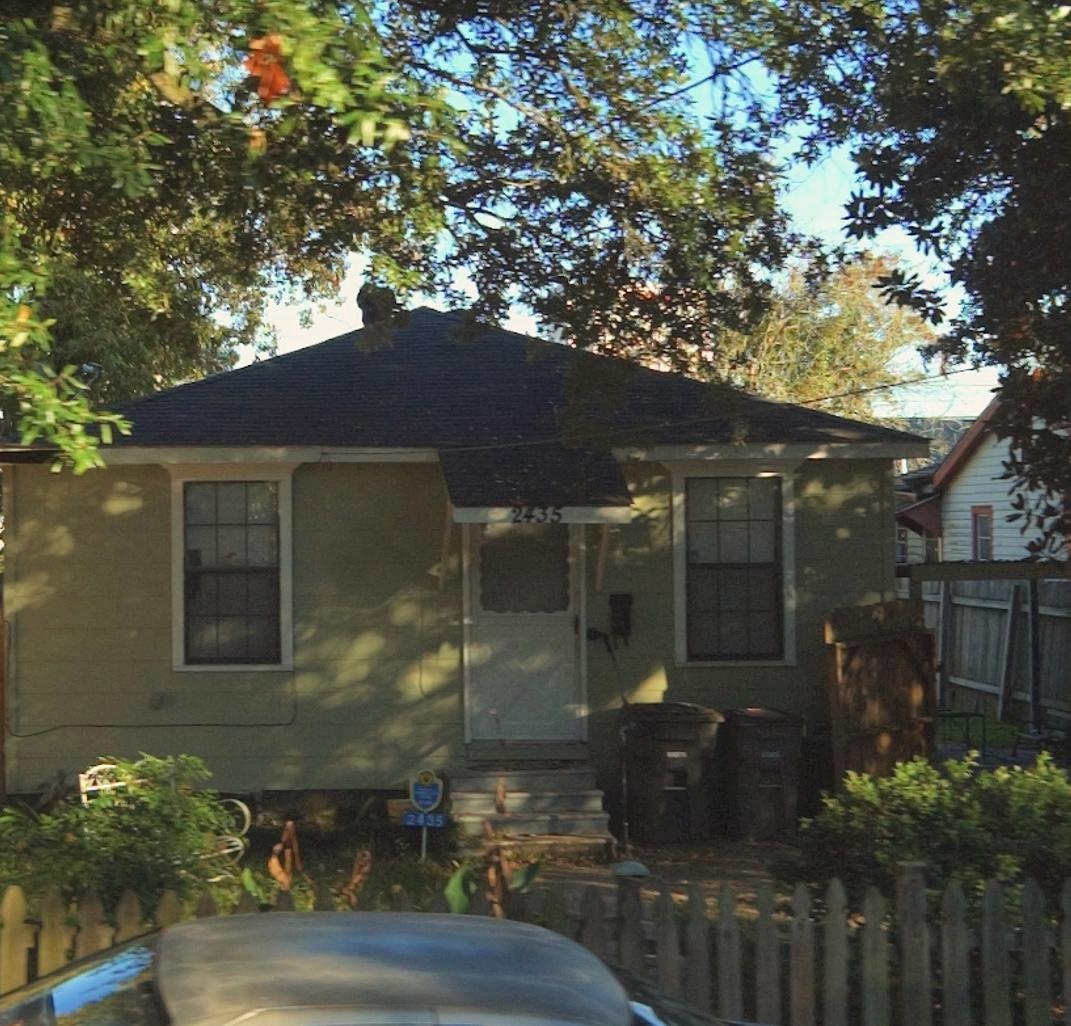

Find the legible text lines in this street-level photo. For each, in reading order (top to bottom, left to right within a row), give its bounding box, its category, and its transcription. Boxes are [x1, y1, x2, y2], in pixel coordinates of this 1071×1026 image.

[511, 504, 565, 524] StreetNumber: 2435
[405, 812, 444, 829] StreetNumber: 2435